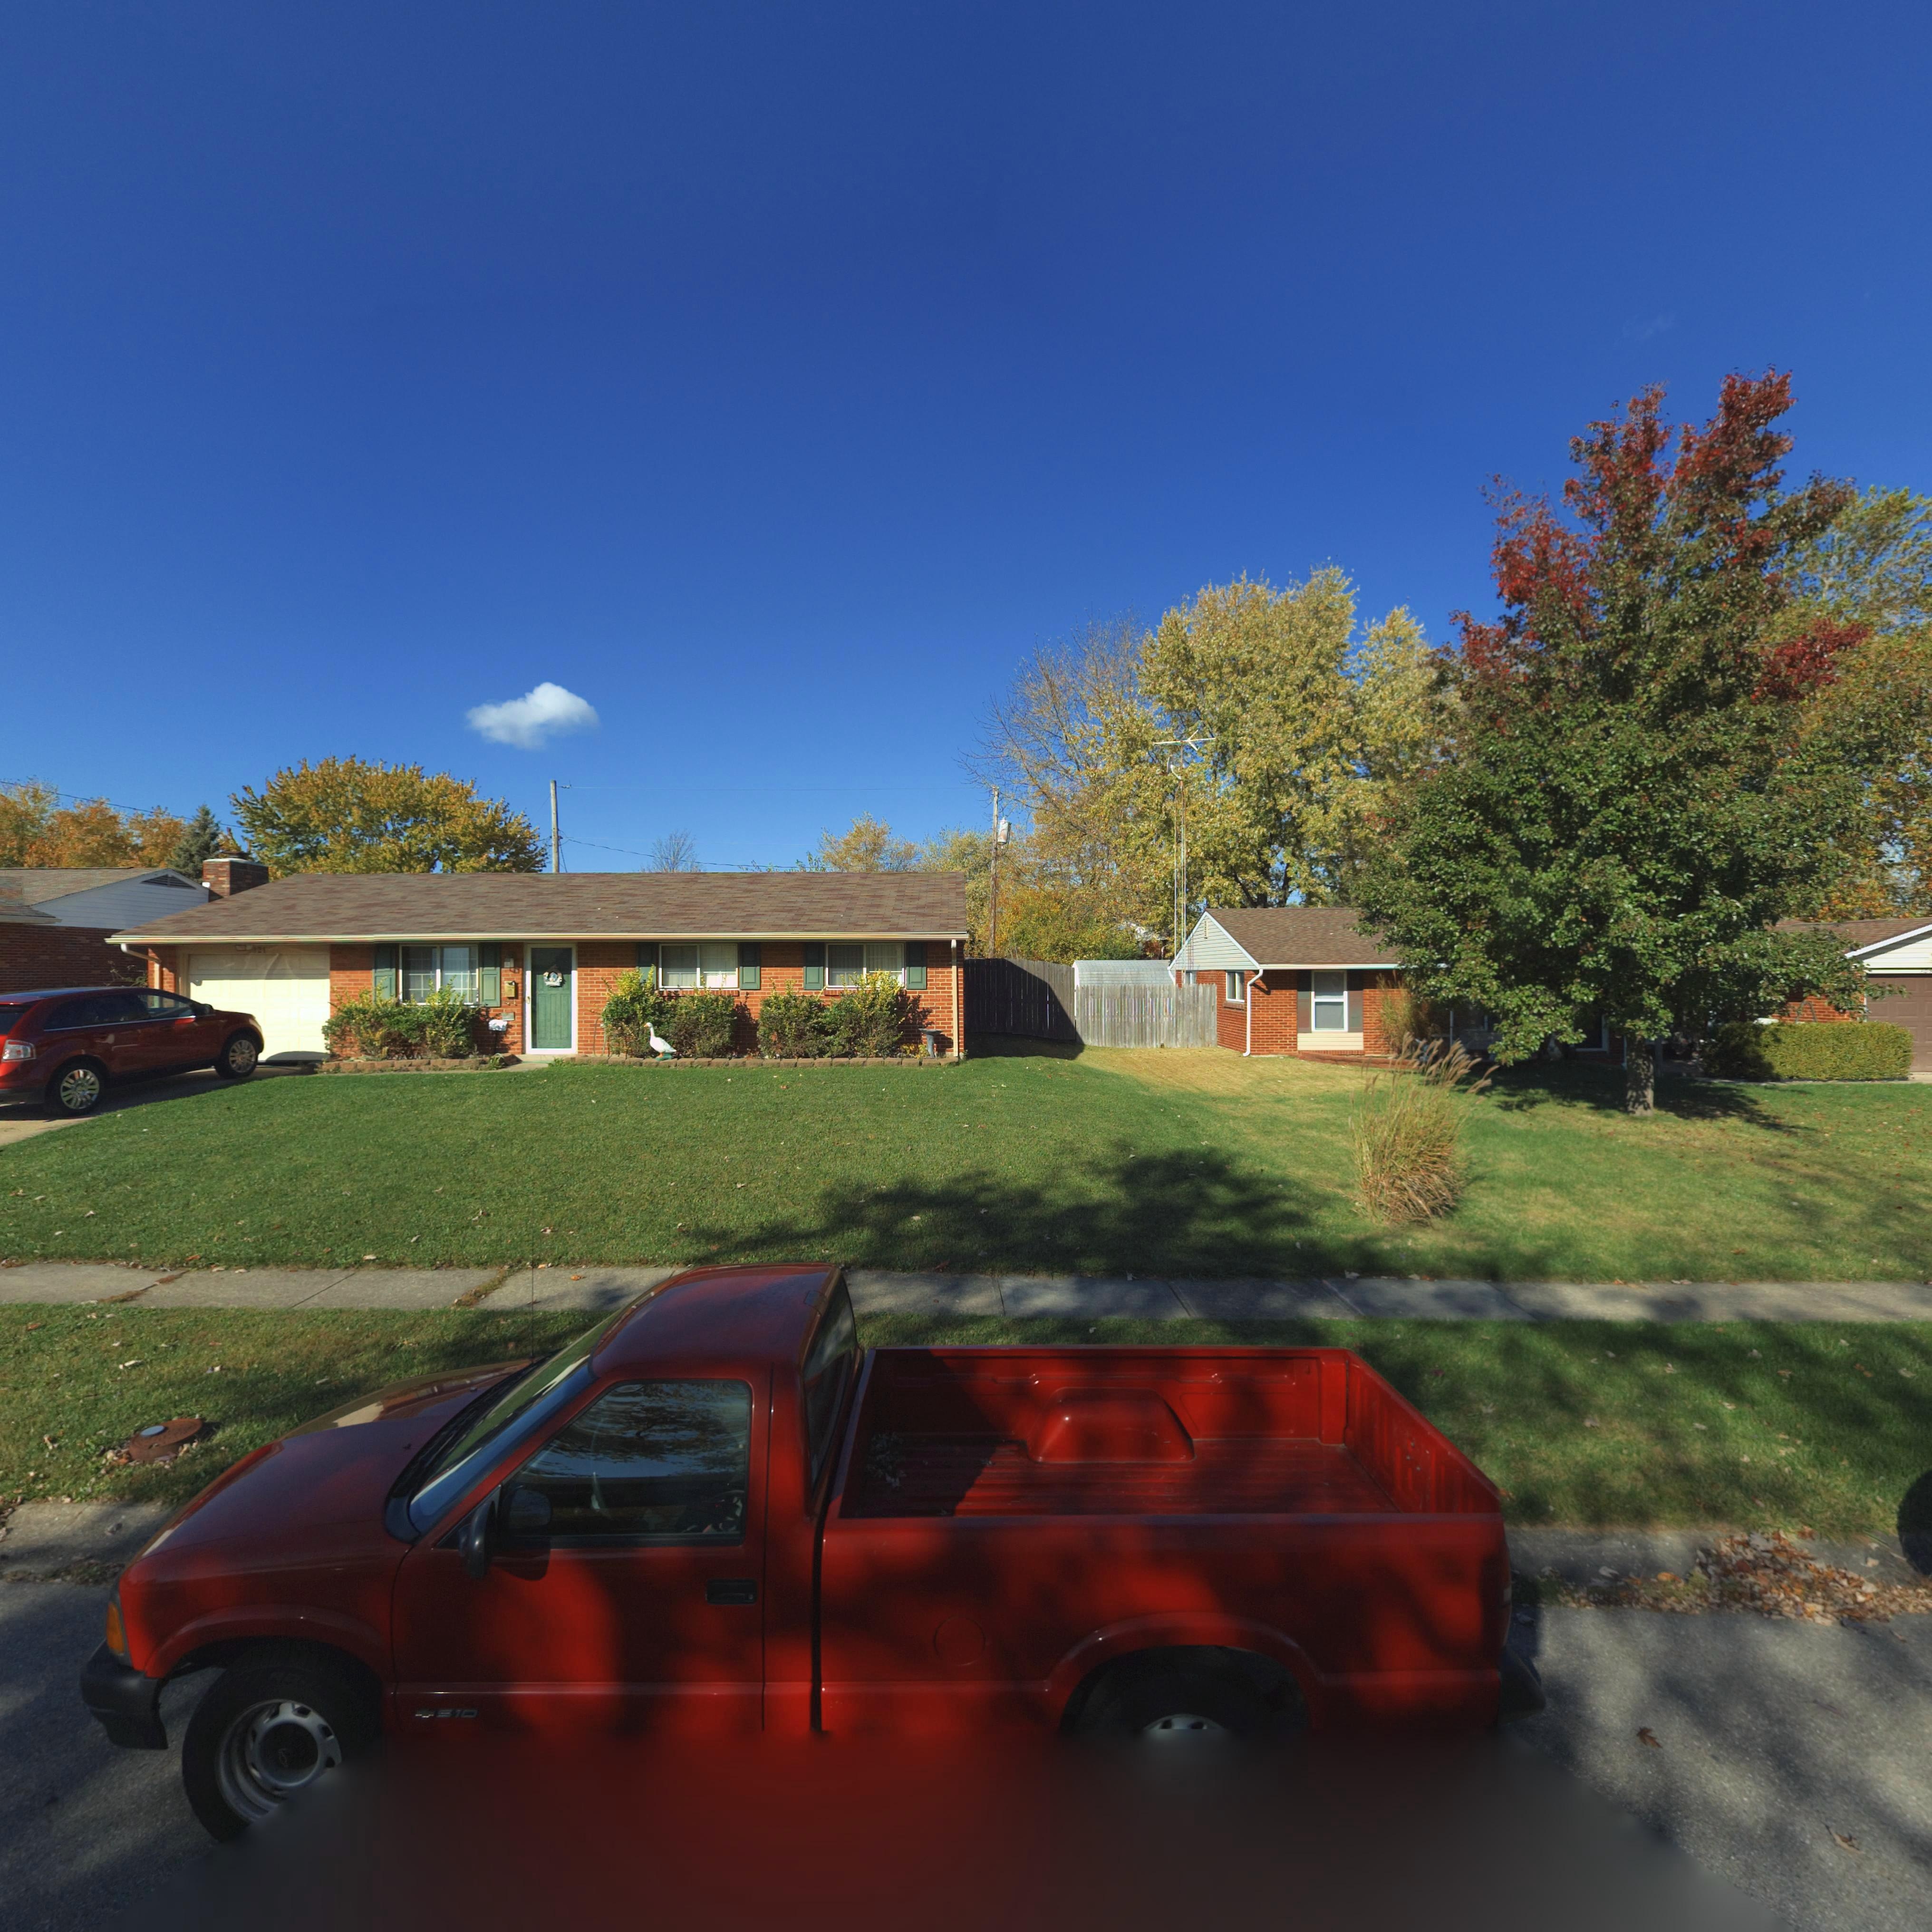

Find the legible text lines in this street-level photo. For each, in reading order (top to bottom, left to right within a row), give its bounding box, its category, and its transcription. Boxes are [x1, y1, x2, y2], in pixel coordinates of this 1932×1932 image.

[256, 946, 267, 954] StreetNumber: 21